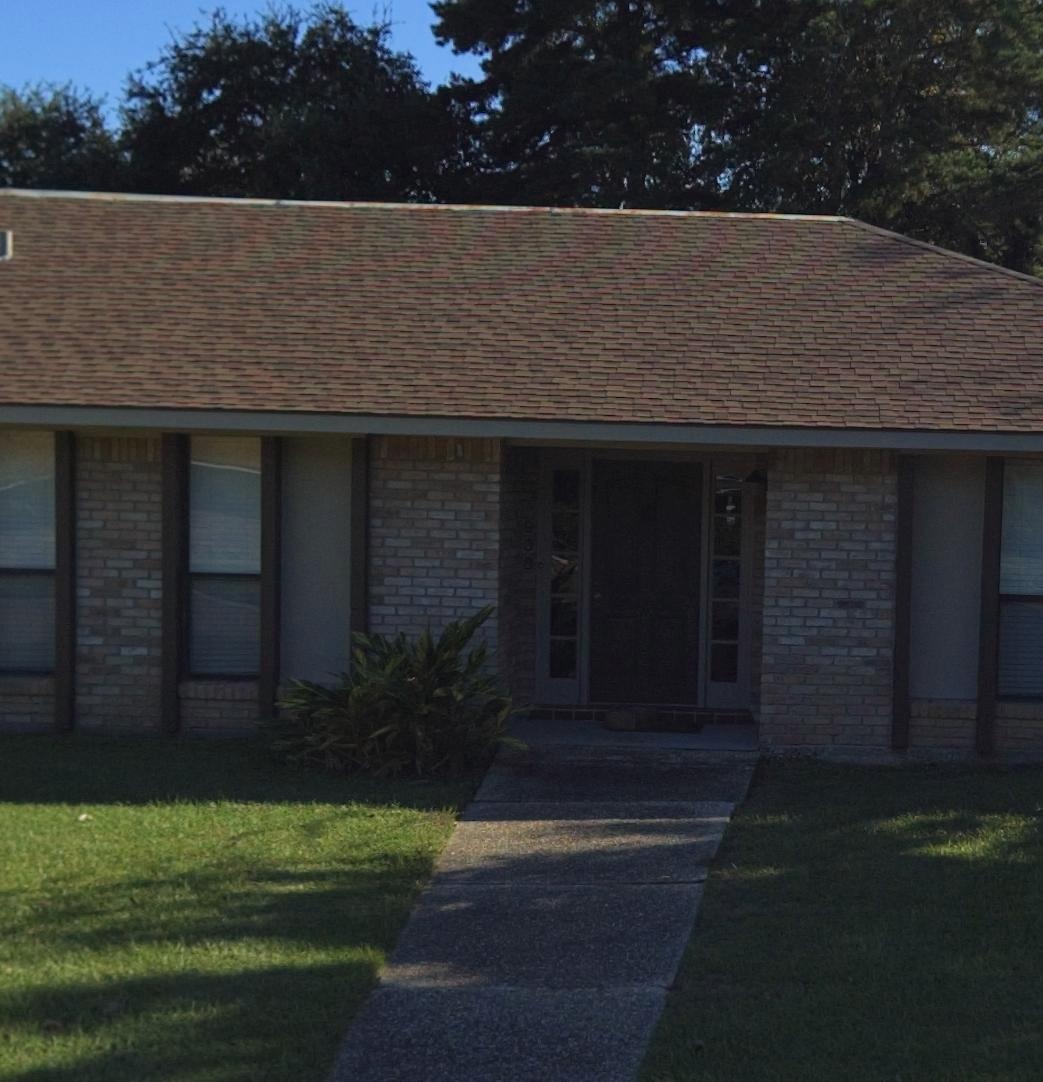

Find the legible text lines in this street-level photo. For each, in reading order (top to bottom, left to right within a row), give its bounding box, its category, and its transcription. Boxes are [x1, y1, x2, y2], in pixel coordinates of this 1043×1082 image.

[522, 517, 535, 571] StreetNumber: 938